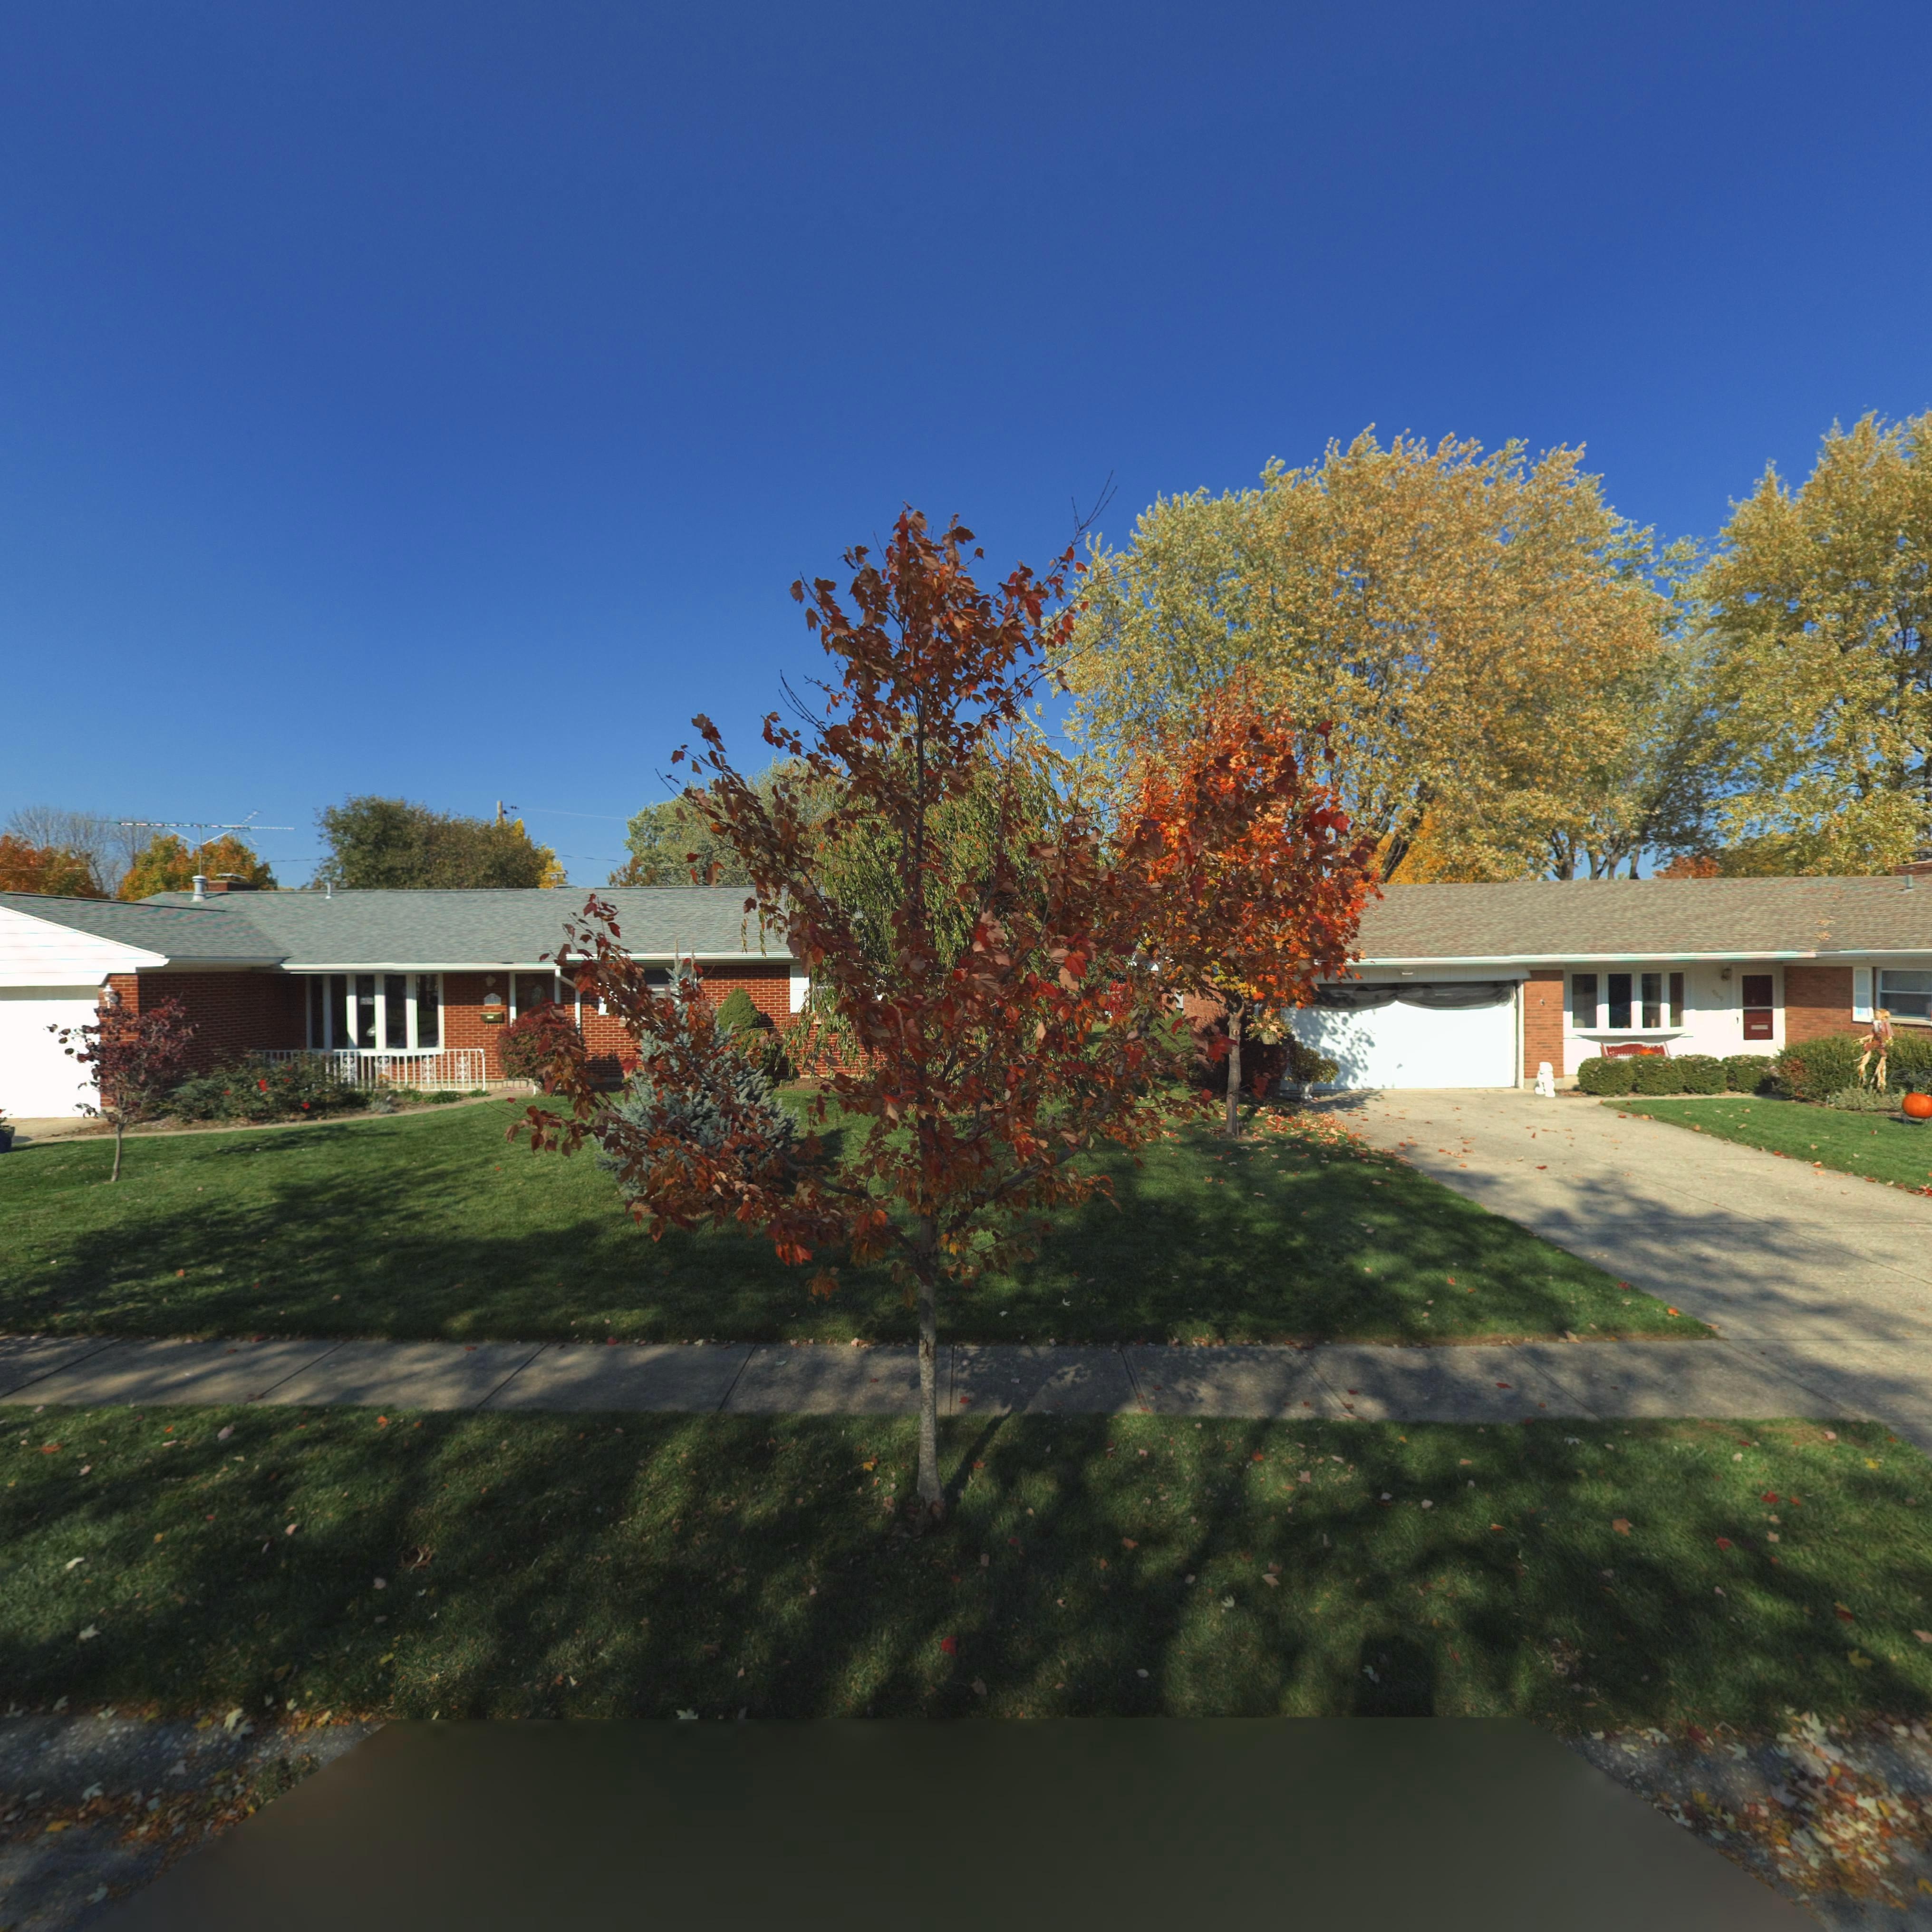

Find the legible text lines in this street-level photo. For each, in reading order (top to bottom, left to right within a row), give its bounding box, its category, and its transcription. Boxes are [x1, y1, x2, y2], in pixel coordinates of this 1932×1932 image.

[1711, 989, 1725, 1004] StreetNumber: 969